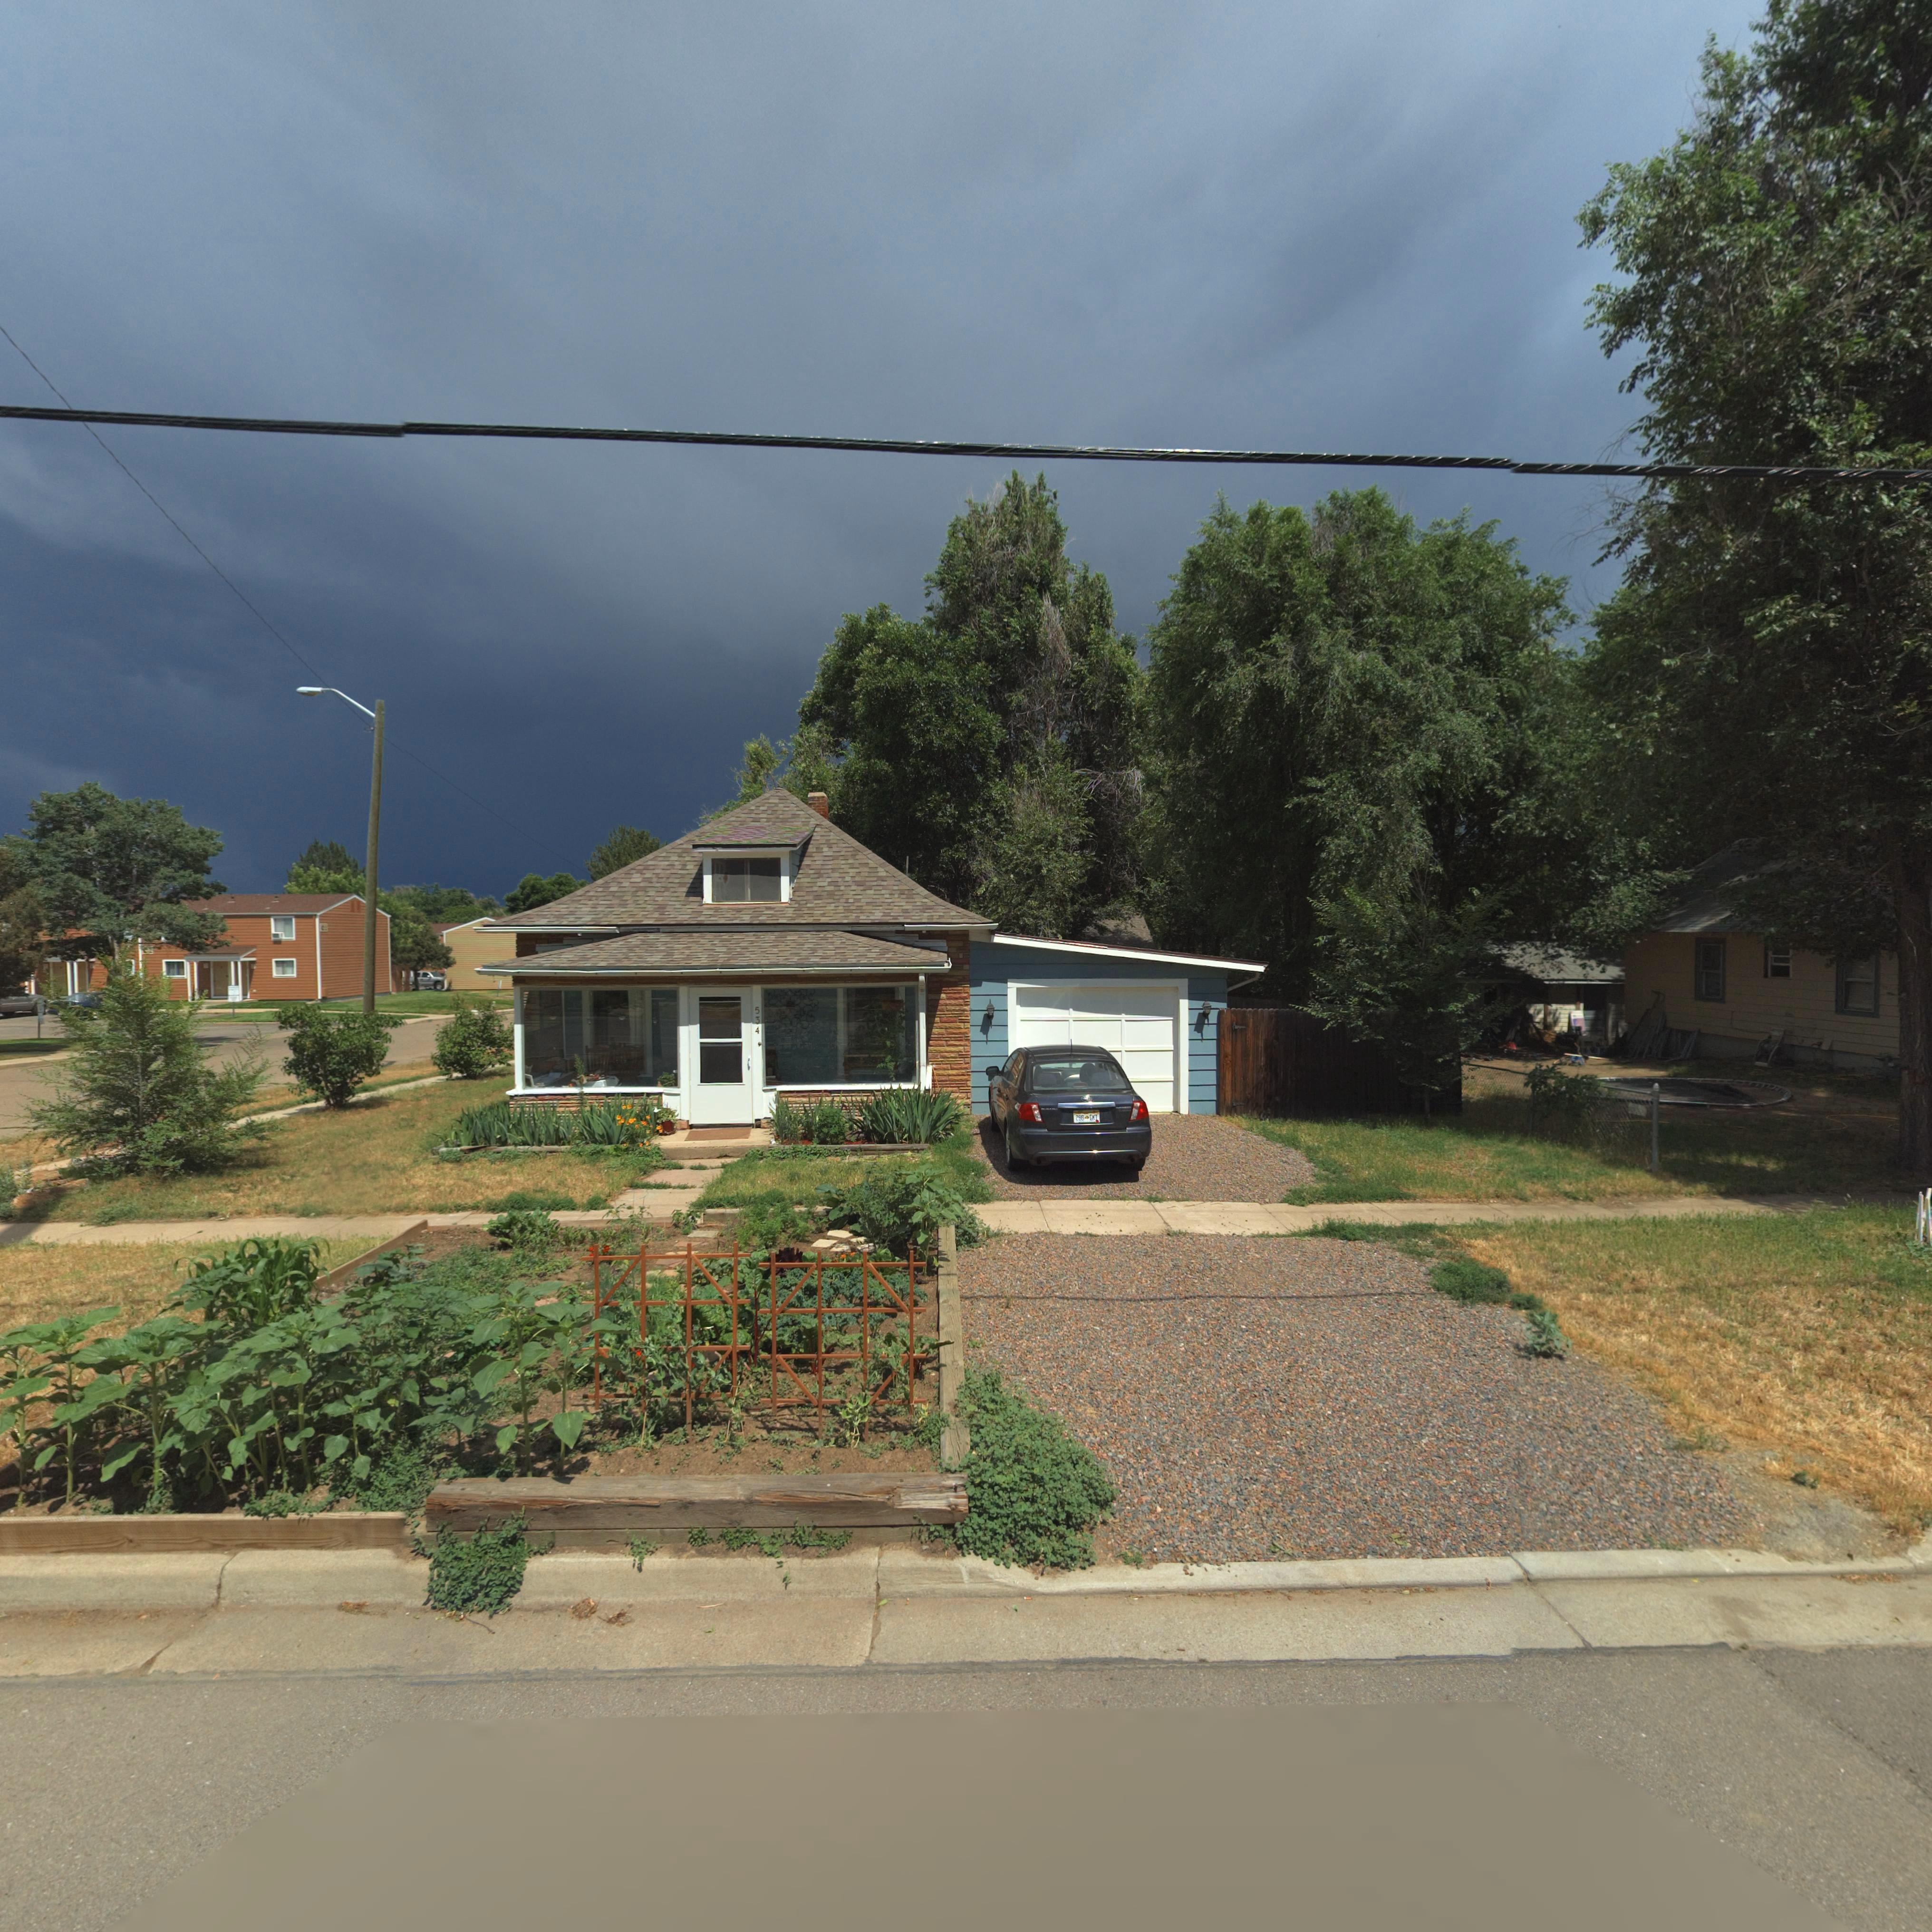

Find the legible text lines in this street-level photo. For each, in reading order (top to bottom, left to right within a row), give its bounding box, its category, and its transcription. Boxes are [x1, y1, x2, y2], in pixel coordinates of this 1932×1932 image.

[754, 1006, 760, 1034] StreetNumber: 534